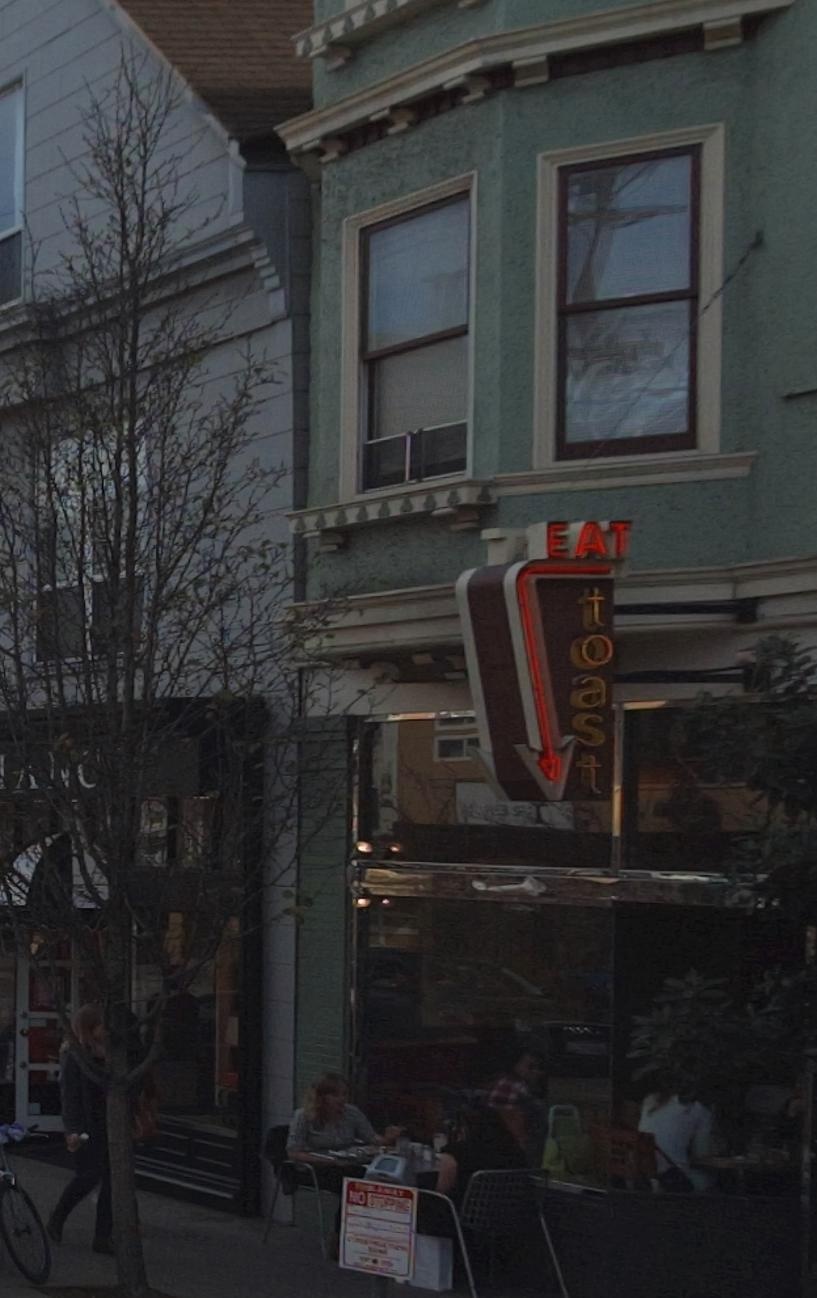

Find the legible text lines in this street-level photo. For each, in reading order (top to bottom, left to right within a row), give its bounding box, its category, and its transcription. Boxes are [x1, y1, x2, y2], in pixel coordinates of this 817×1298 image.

[545, 519, 634, 559] BusinessName: EAT
[573, 586, 616, 796] BusinessName: TOAST
[349, 1189, 411, 1213] None: NO S***PING